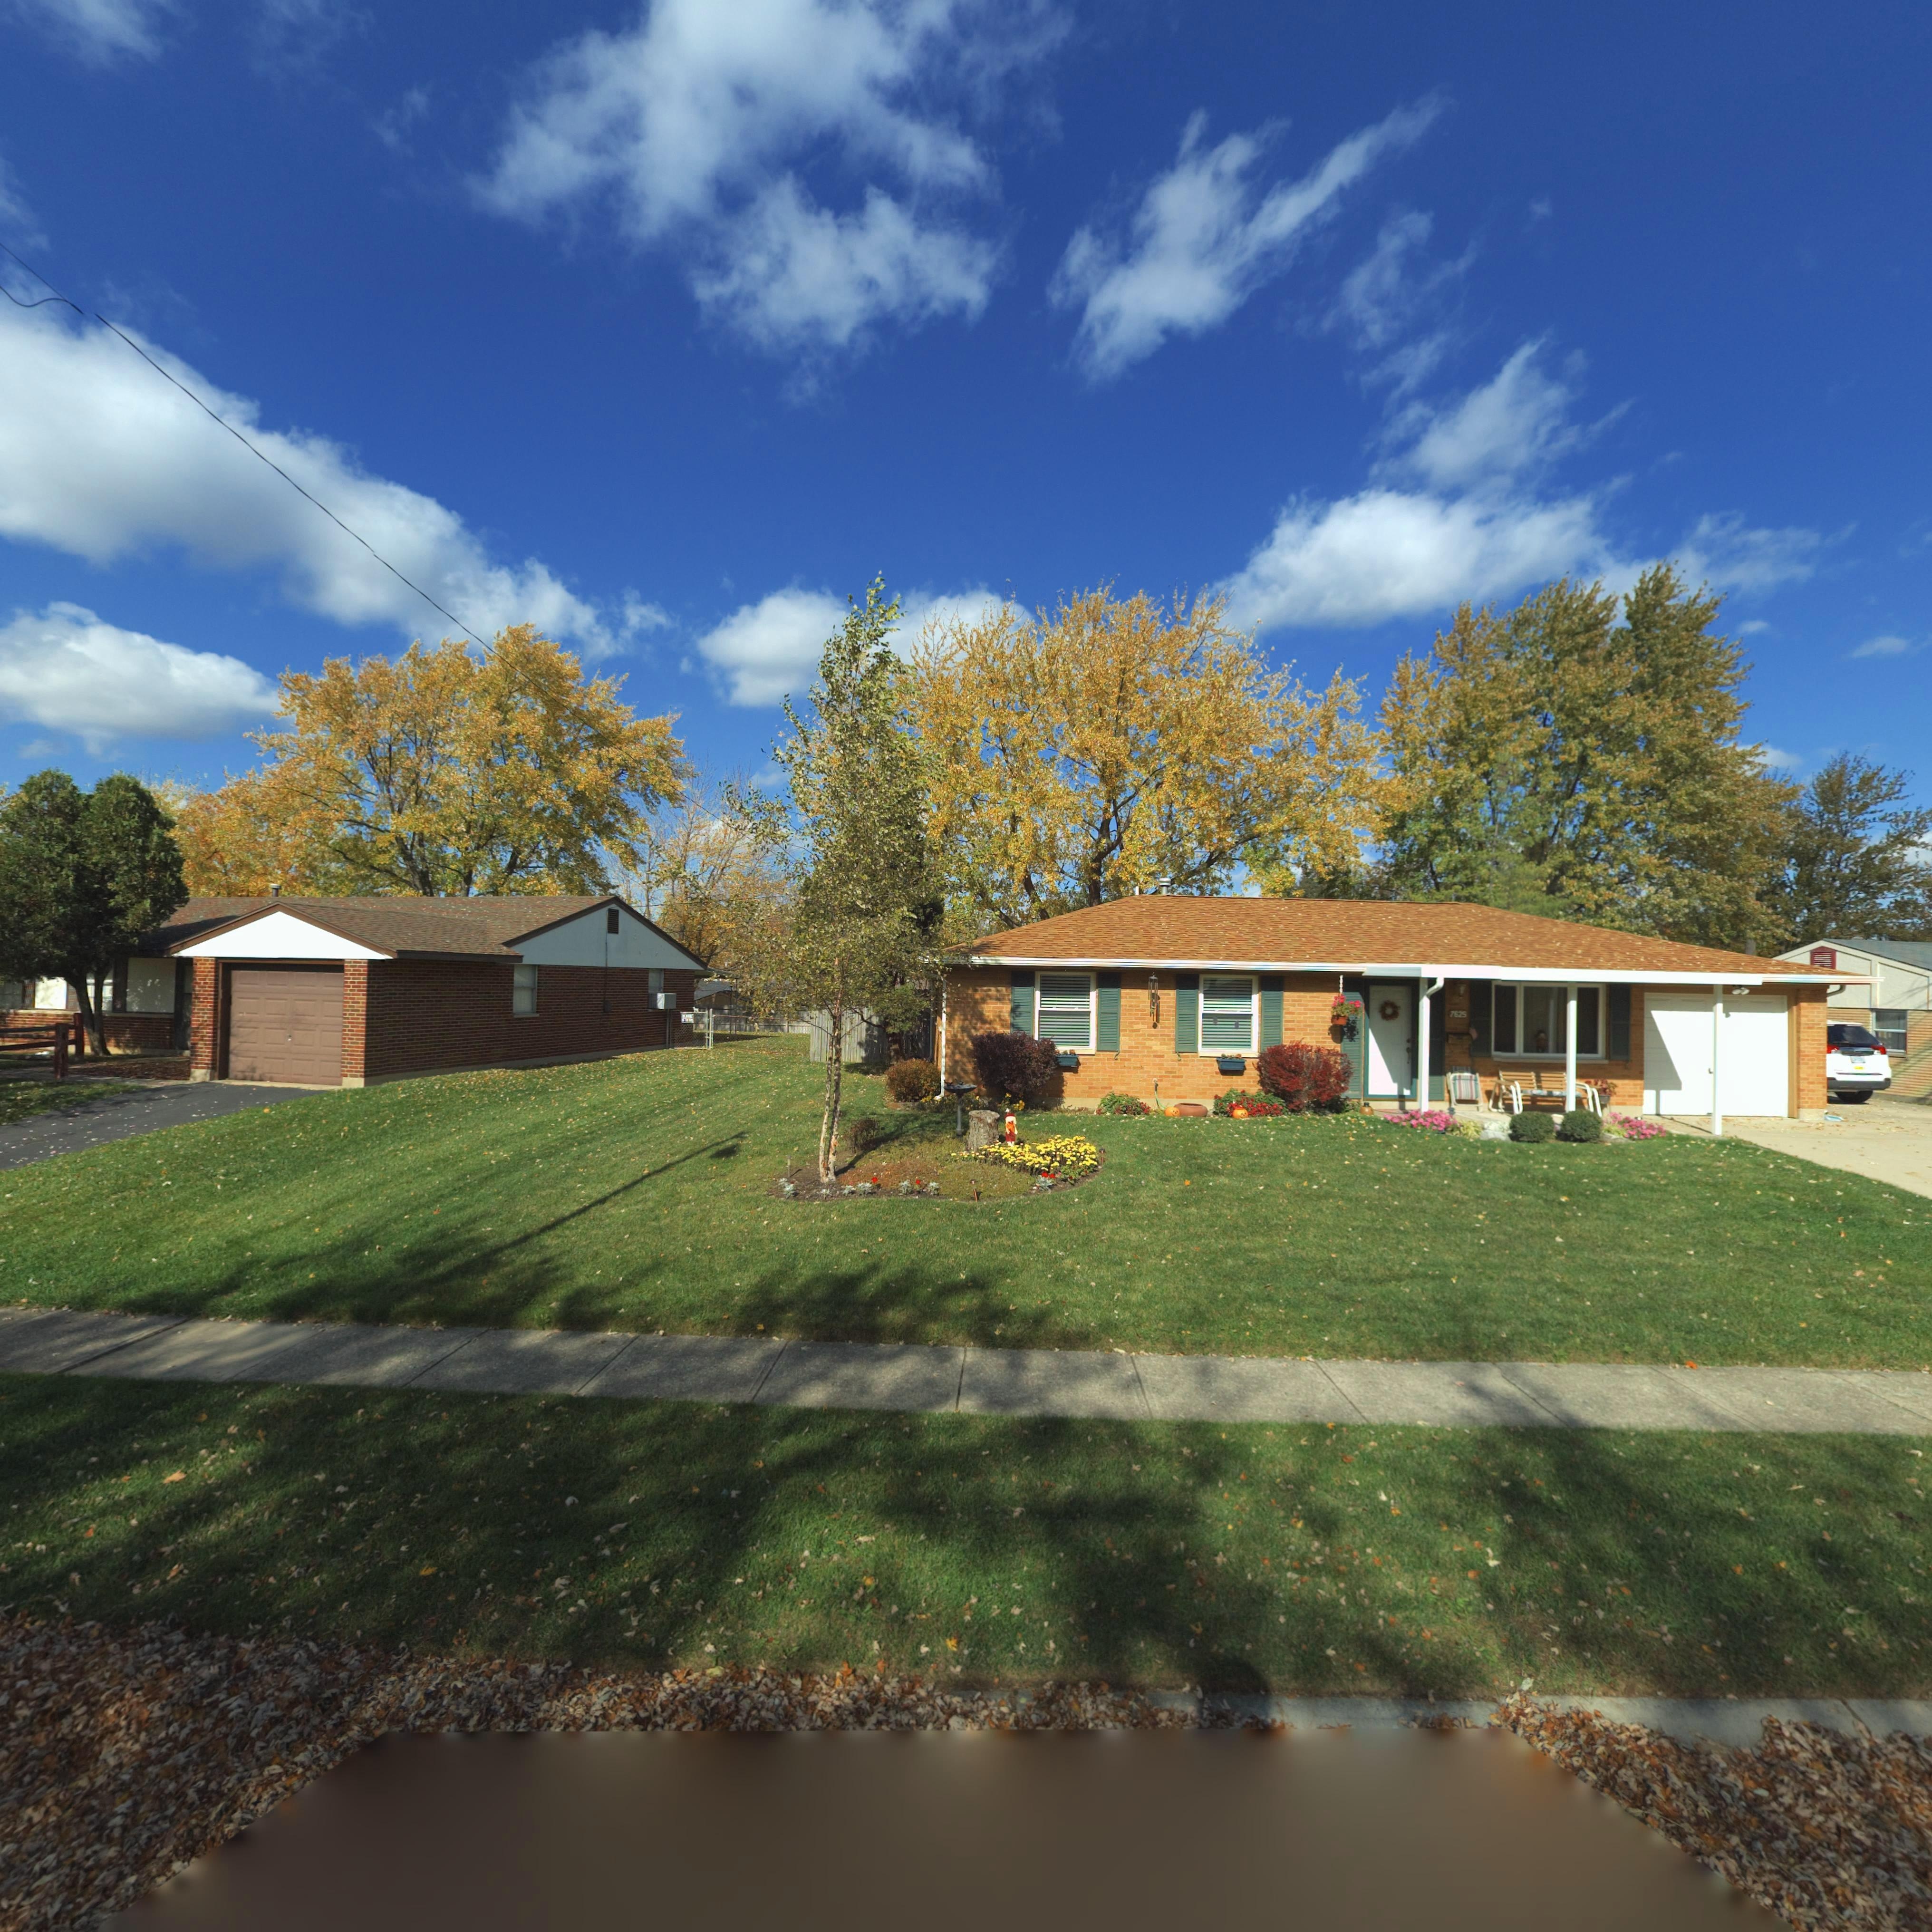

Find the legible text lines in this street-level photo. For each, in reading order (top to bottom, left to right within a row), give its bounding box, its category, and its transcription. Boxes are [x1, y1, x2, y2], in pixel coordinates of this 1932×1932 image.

[1449, 1010, 1467, 1018] StreetNumber: 7625